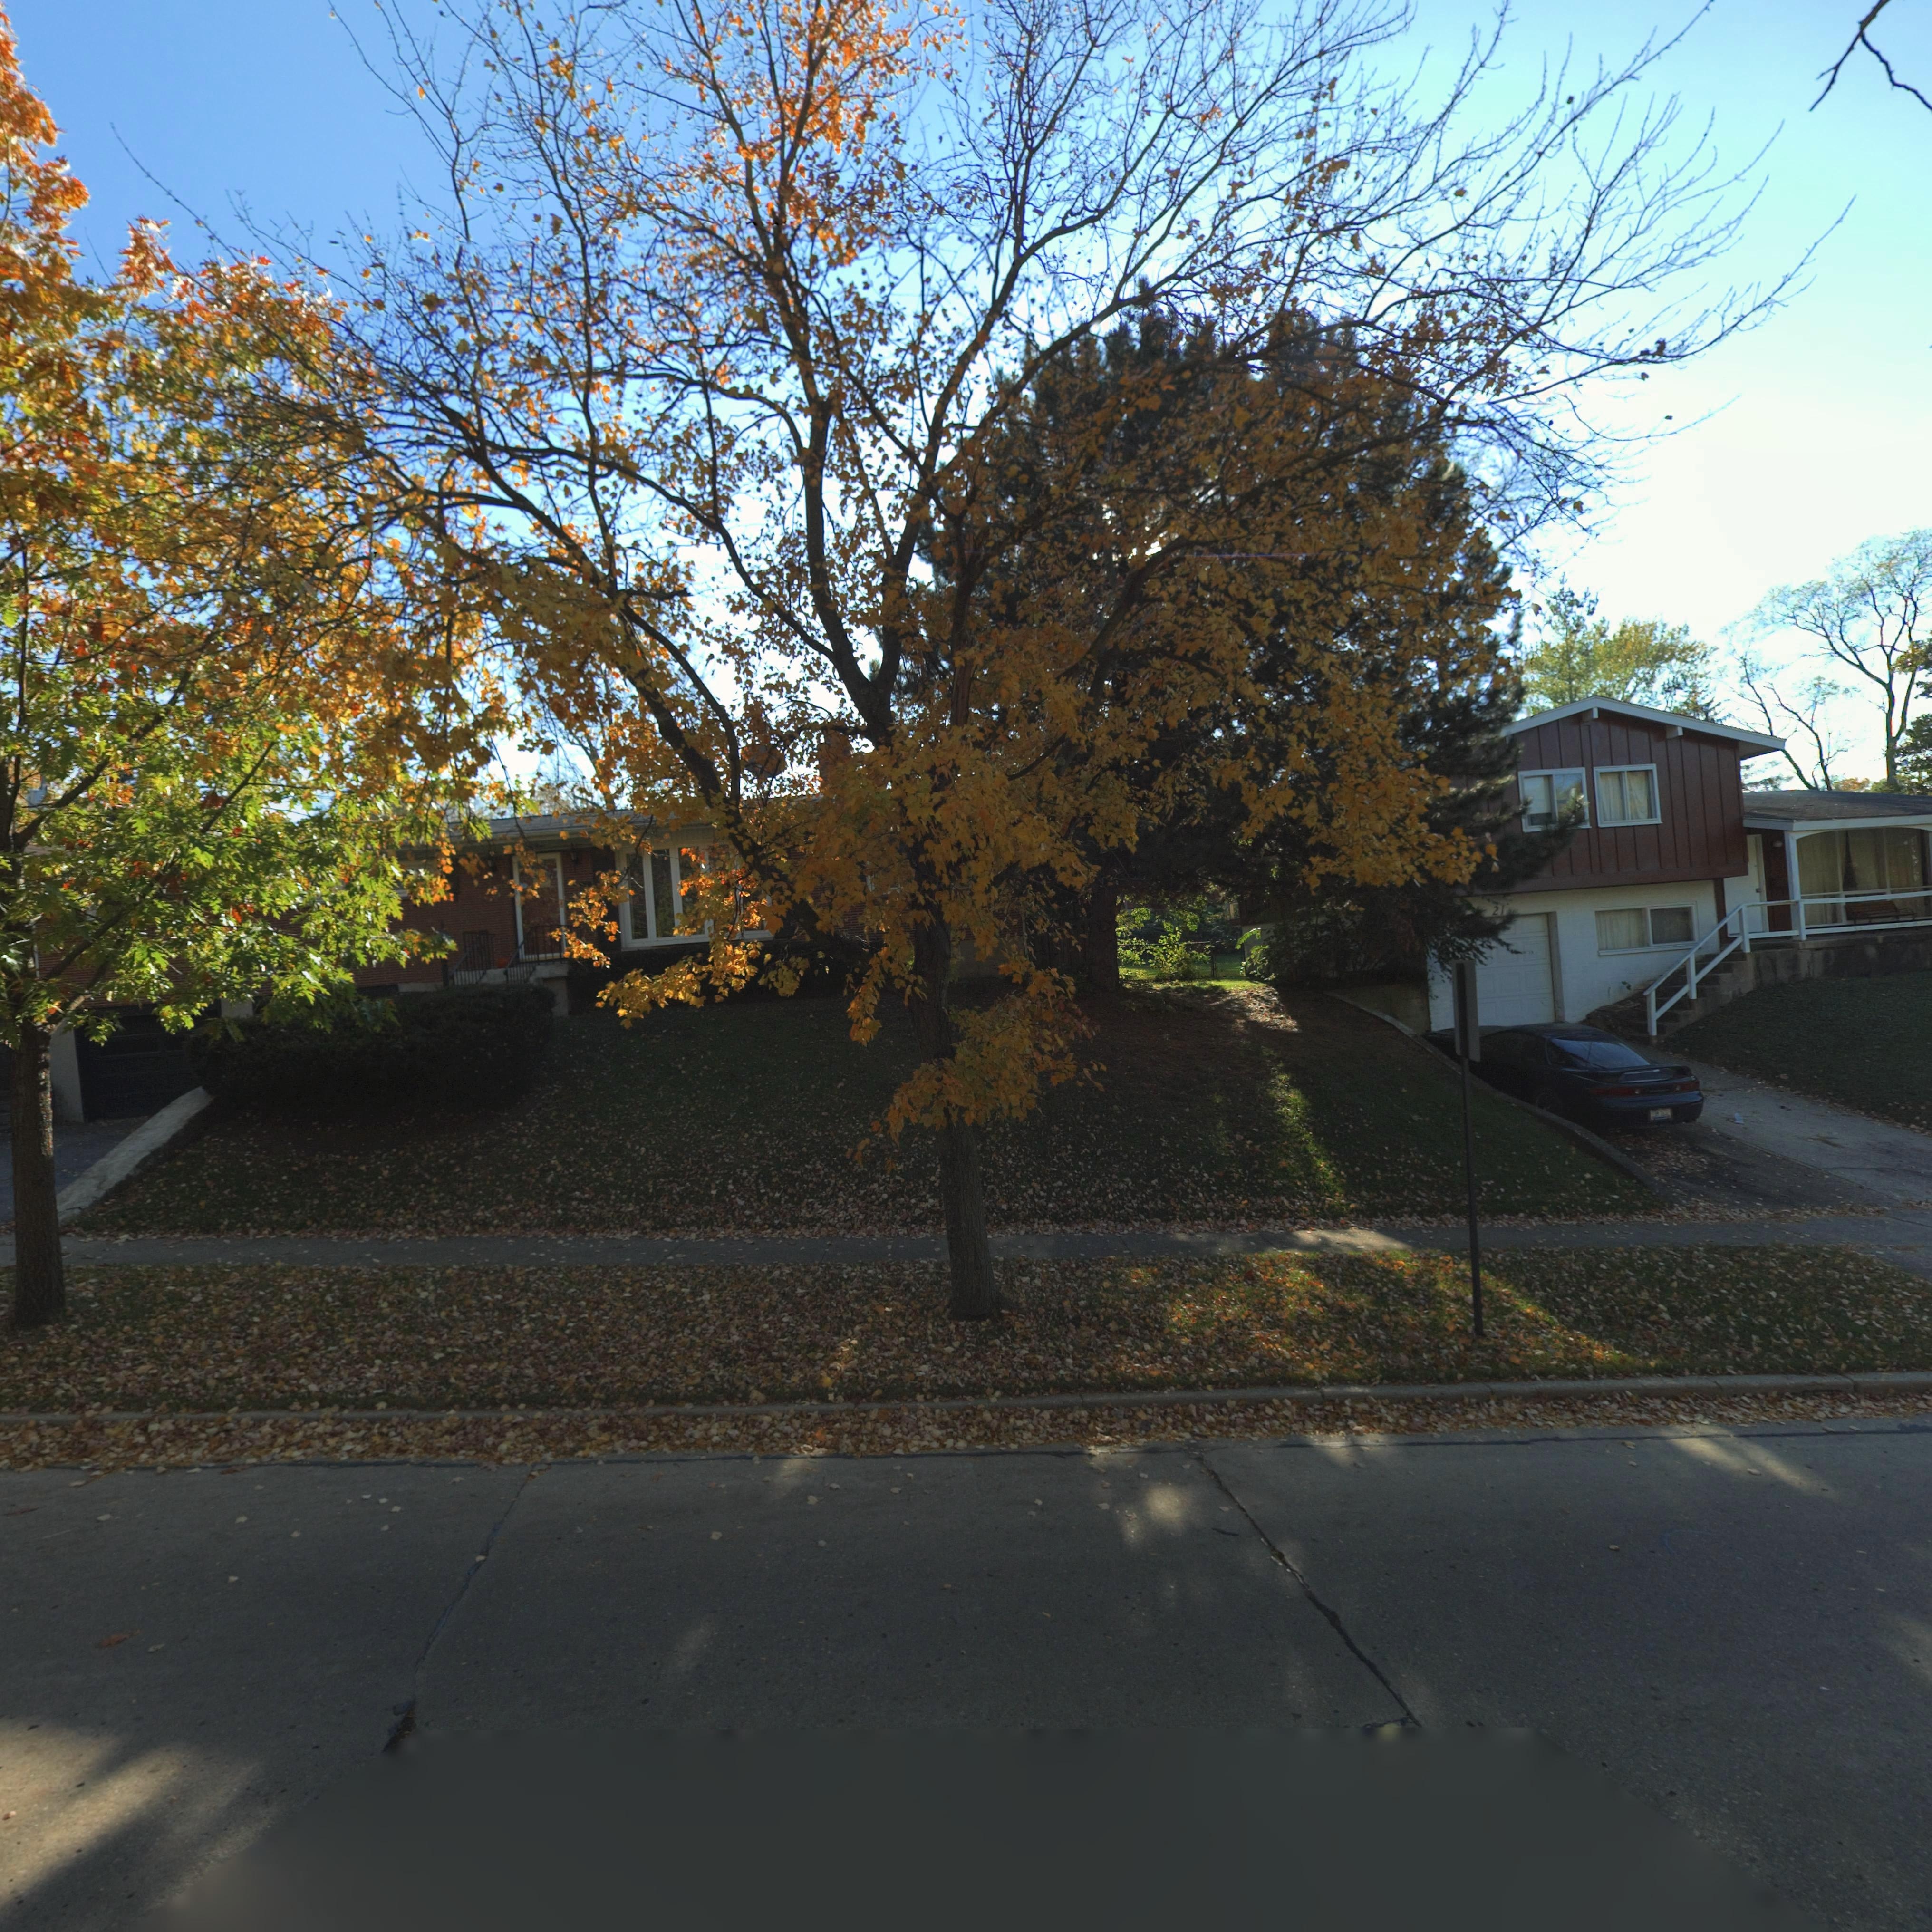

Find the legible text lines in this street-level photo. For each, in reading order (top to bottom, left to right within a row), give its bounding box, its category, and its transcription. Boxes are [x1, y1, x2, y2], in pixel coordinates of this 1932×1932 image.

[1491, 904, 1506, 916] StreetNumber: 21